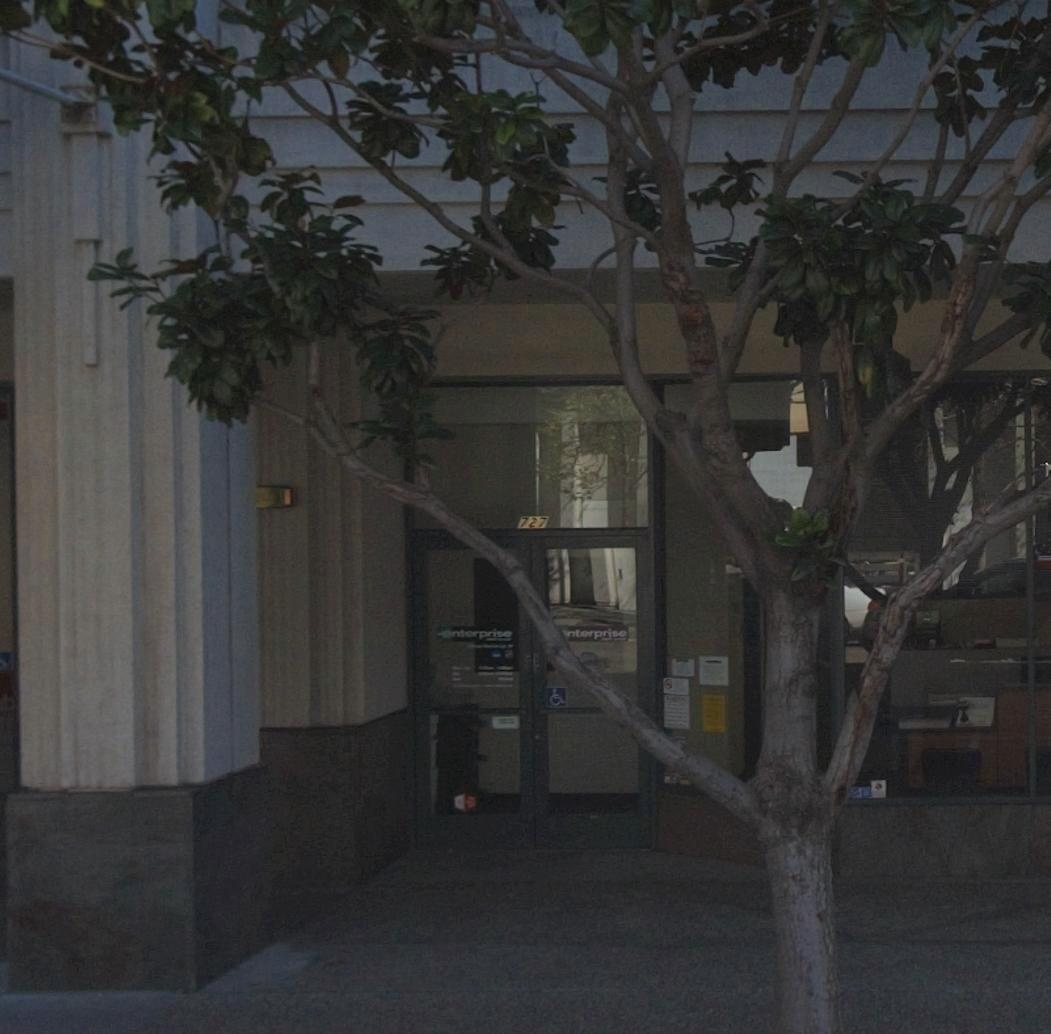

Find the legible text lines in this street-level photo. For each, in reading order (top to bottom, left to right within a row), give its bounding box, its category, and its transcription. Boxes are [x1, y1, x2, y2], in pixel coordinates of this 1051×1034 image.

[517, 515, 551, 530] StreetNumber: 727
[441, 626, 514, 642] BusinessName: enterprise
[566, 626, 629, 642] BusinessName: nterprise